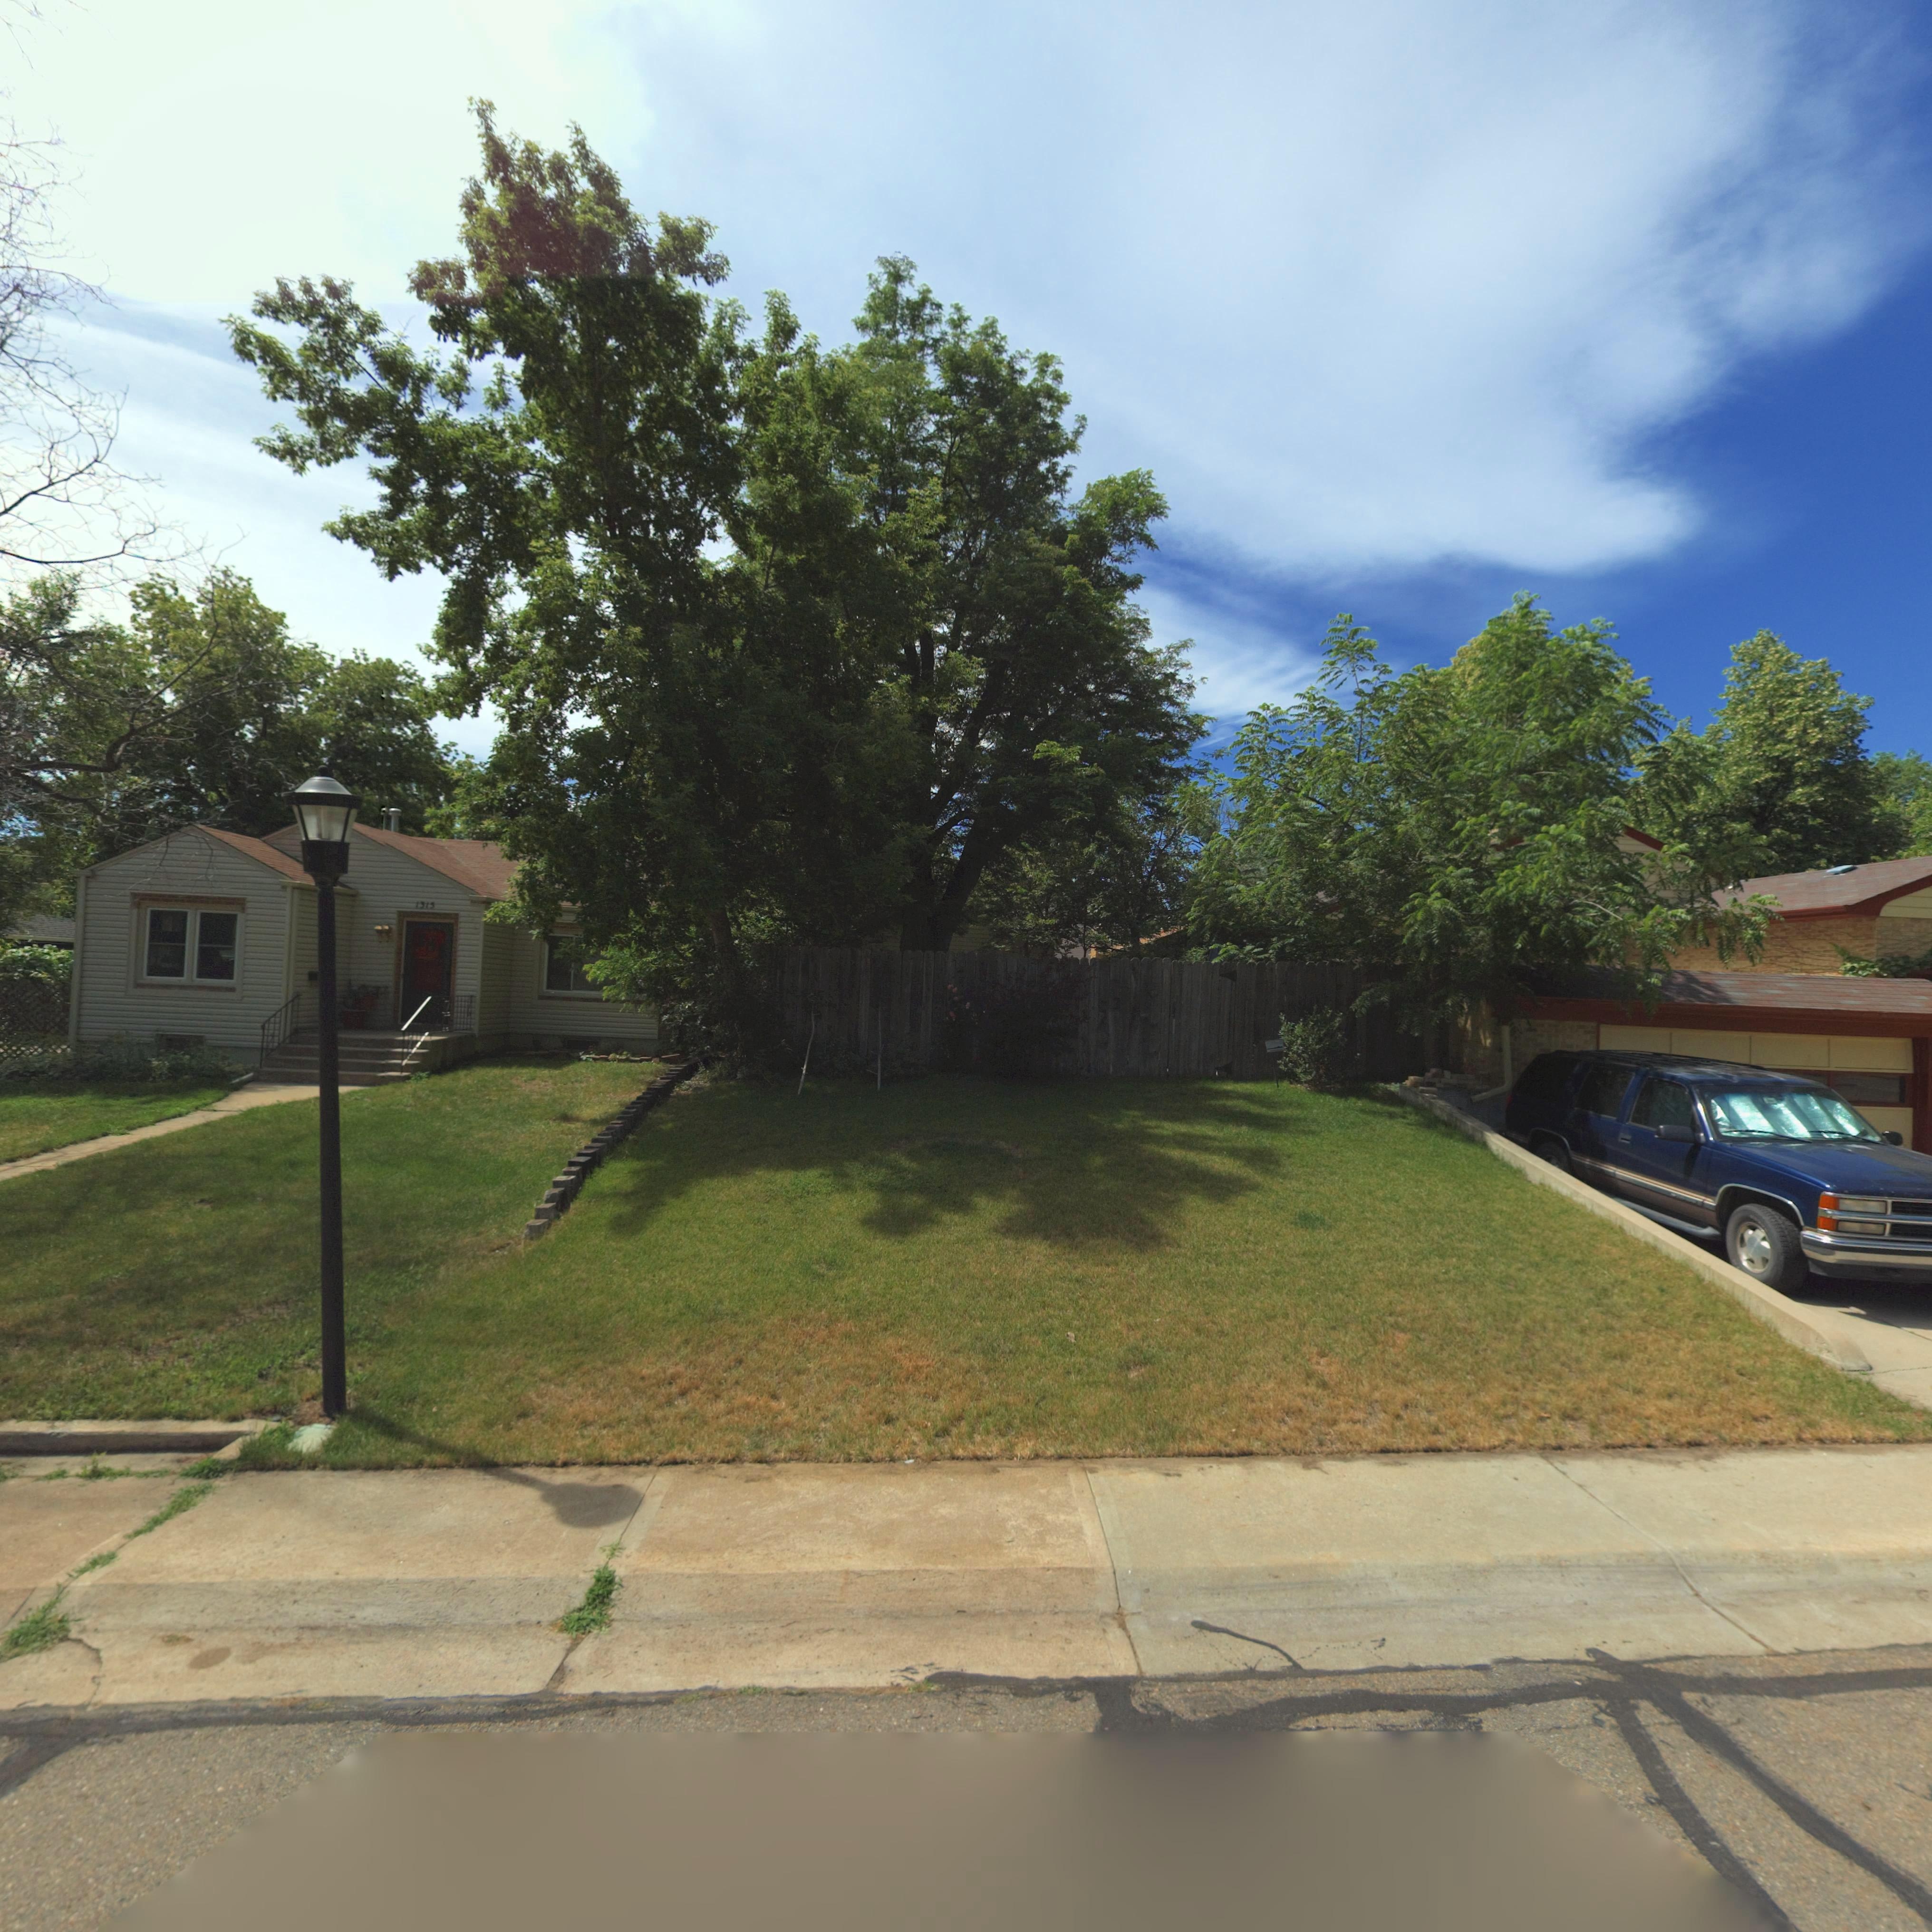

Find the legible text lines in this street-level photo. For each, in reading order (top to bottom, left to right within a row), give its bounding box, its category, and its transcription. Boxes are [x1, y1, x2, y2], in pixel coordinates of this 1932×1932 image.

[415, 900, 436, 909] StreetNumber: 1315